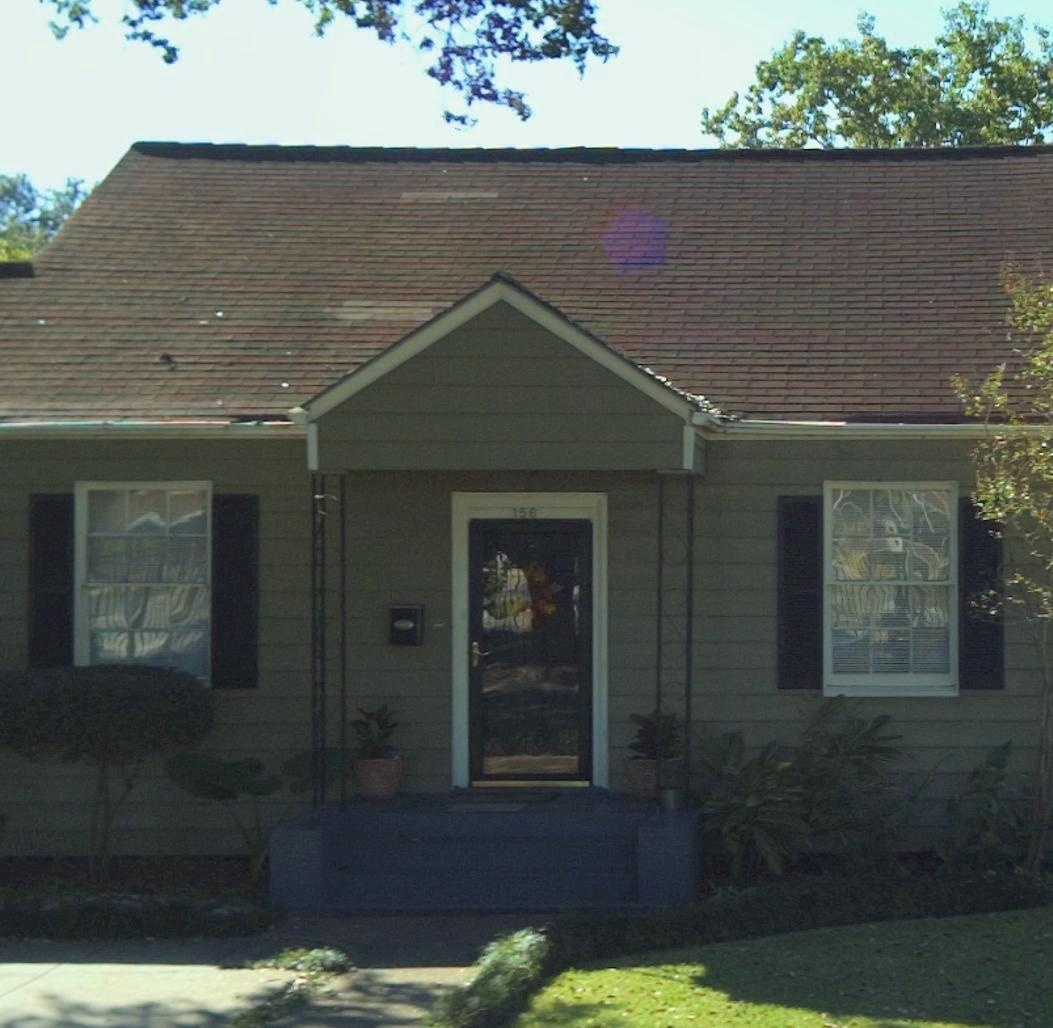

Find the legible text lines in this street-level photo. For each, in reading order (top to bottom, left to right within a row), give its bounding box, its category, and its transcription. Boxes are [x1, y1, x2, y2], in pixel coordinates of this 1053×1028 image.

[511, 505, 538, 521] StreetNumber: 158